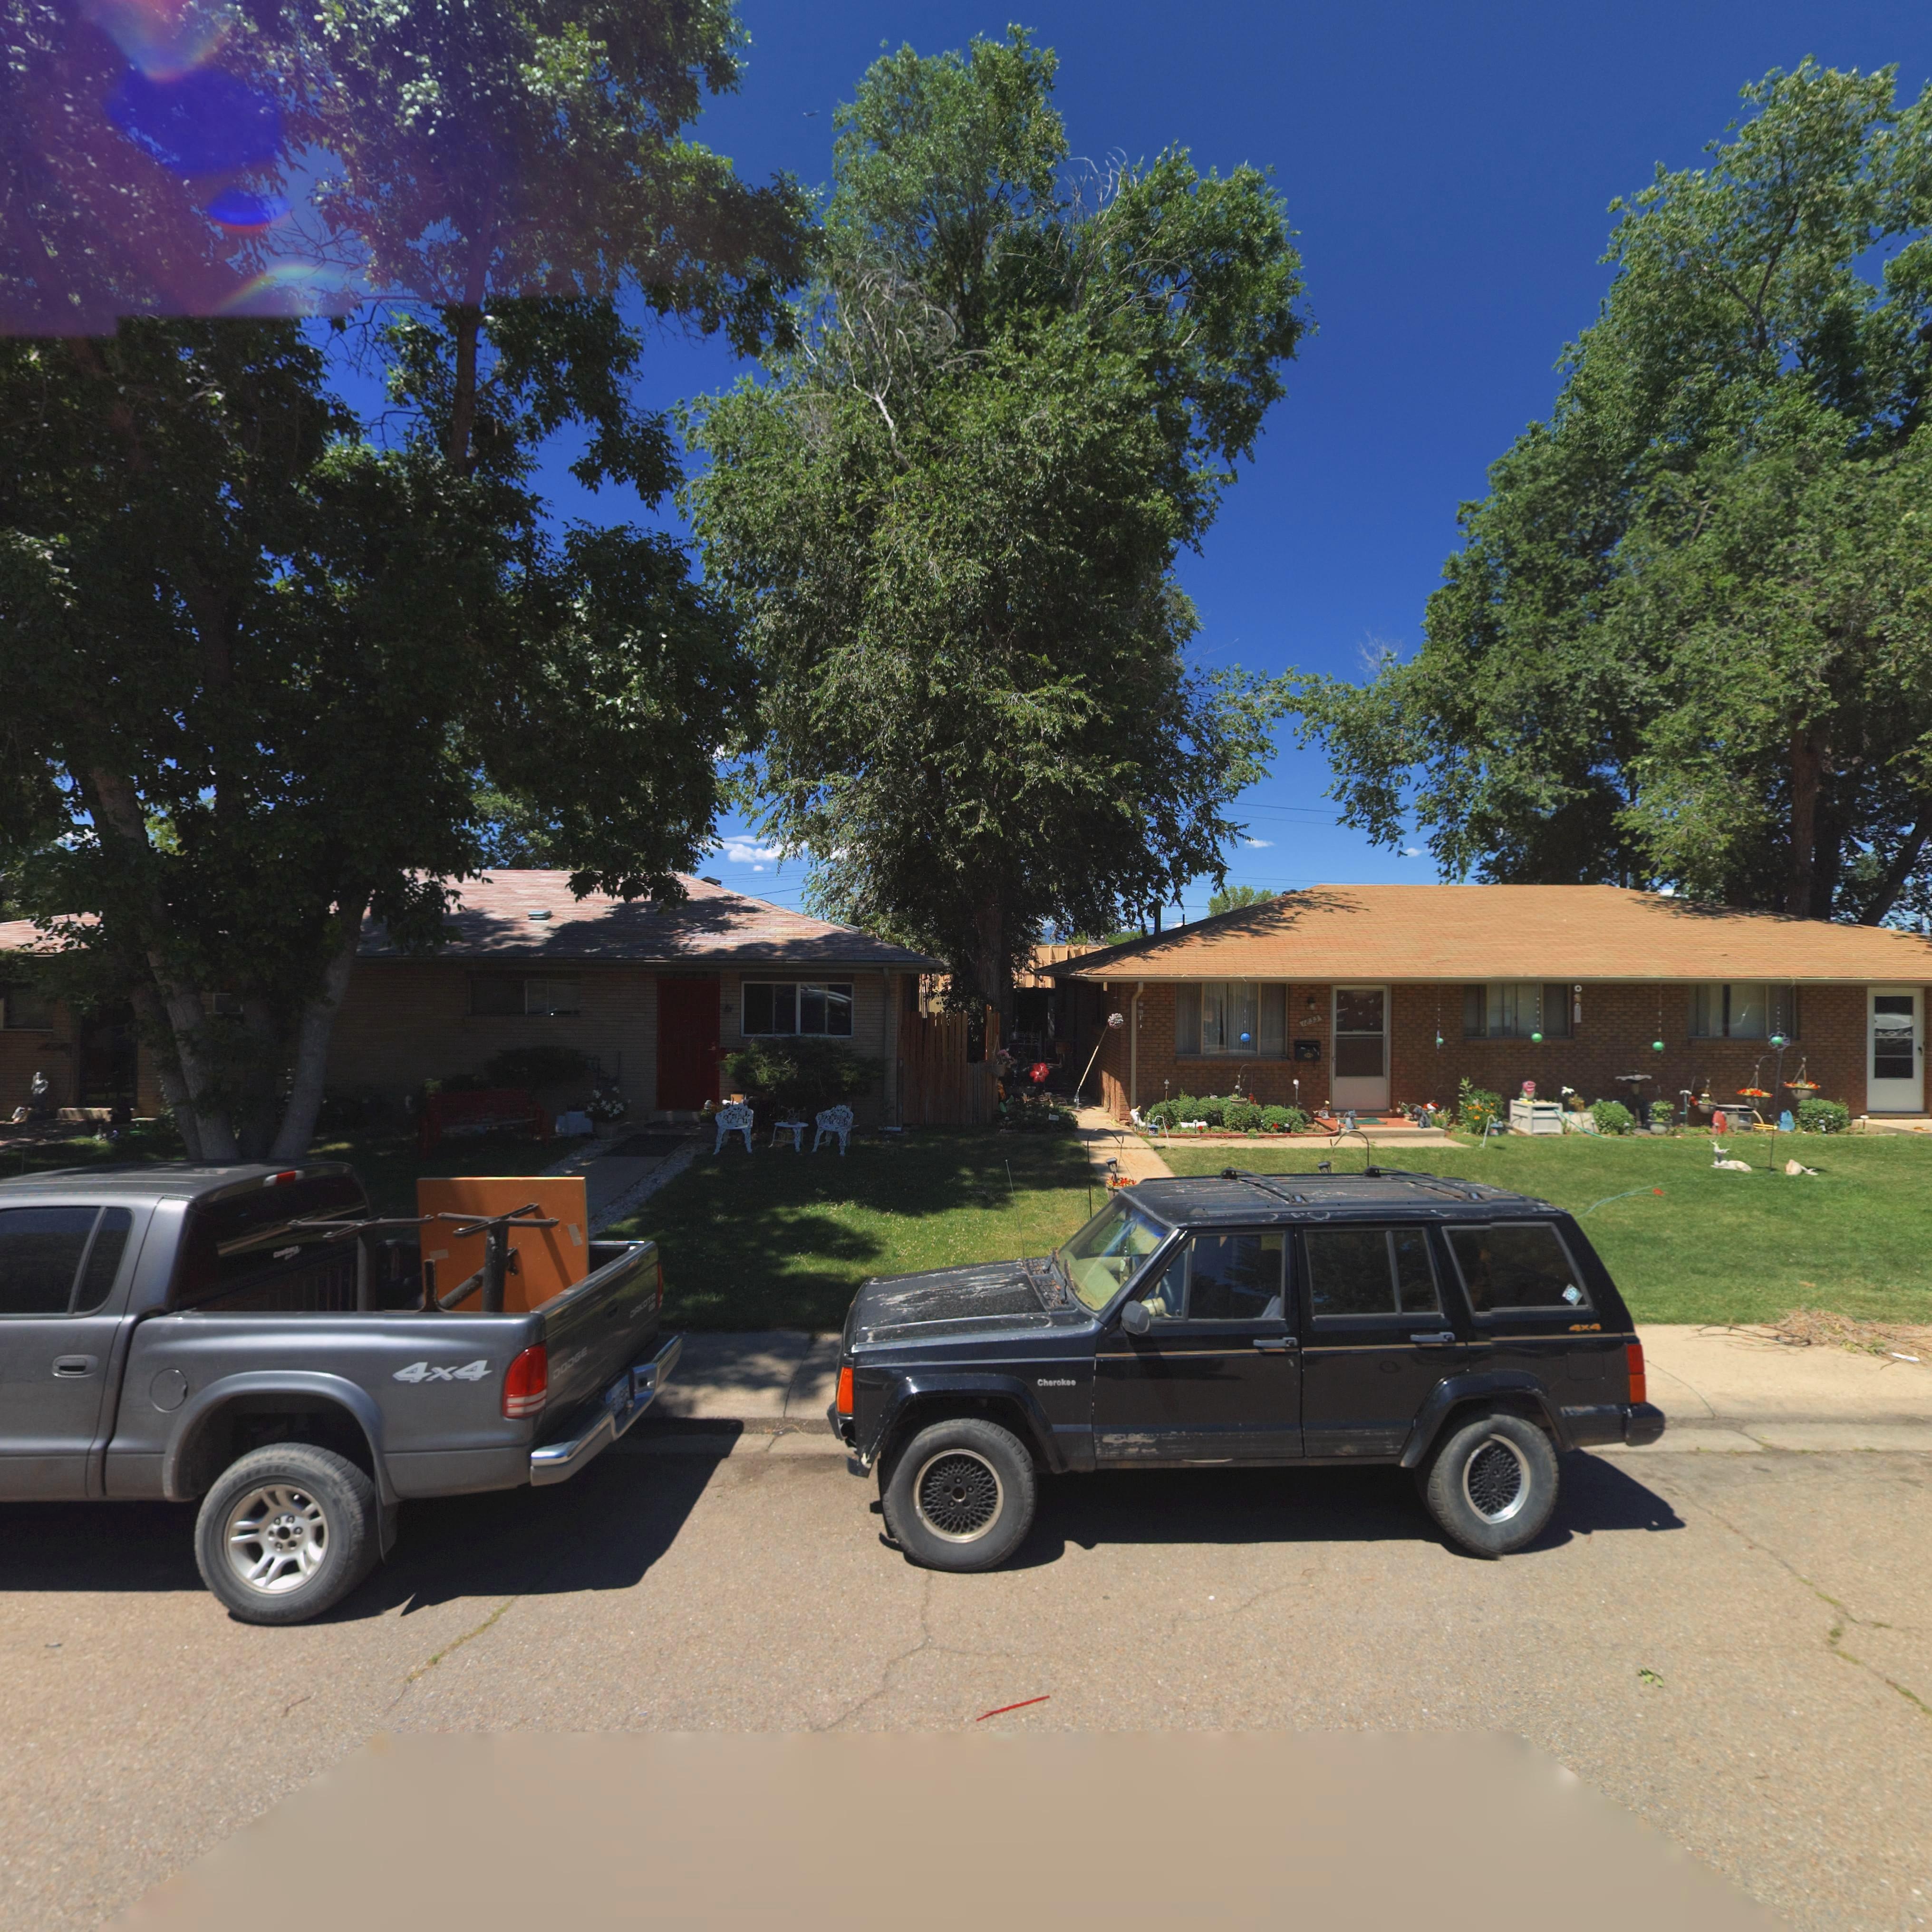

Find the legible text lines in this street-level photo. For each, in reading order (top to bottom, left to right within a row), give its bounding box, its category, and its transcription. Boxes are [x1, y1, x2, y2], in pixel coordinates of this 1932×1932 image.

[1303, 1015, 1318, 1026] StreetNumber: 1833
[724, 1047, 737, 1053] StreetNumber: 18*